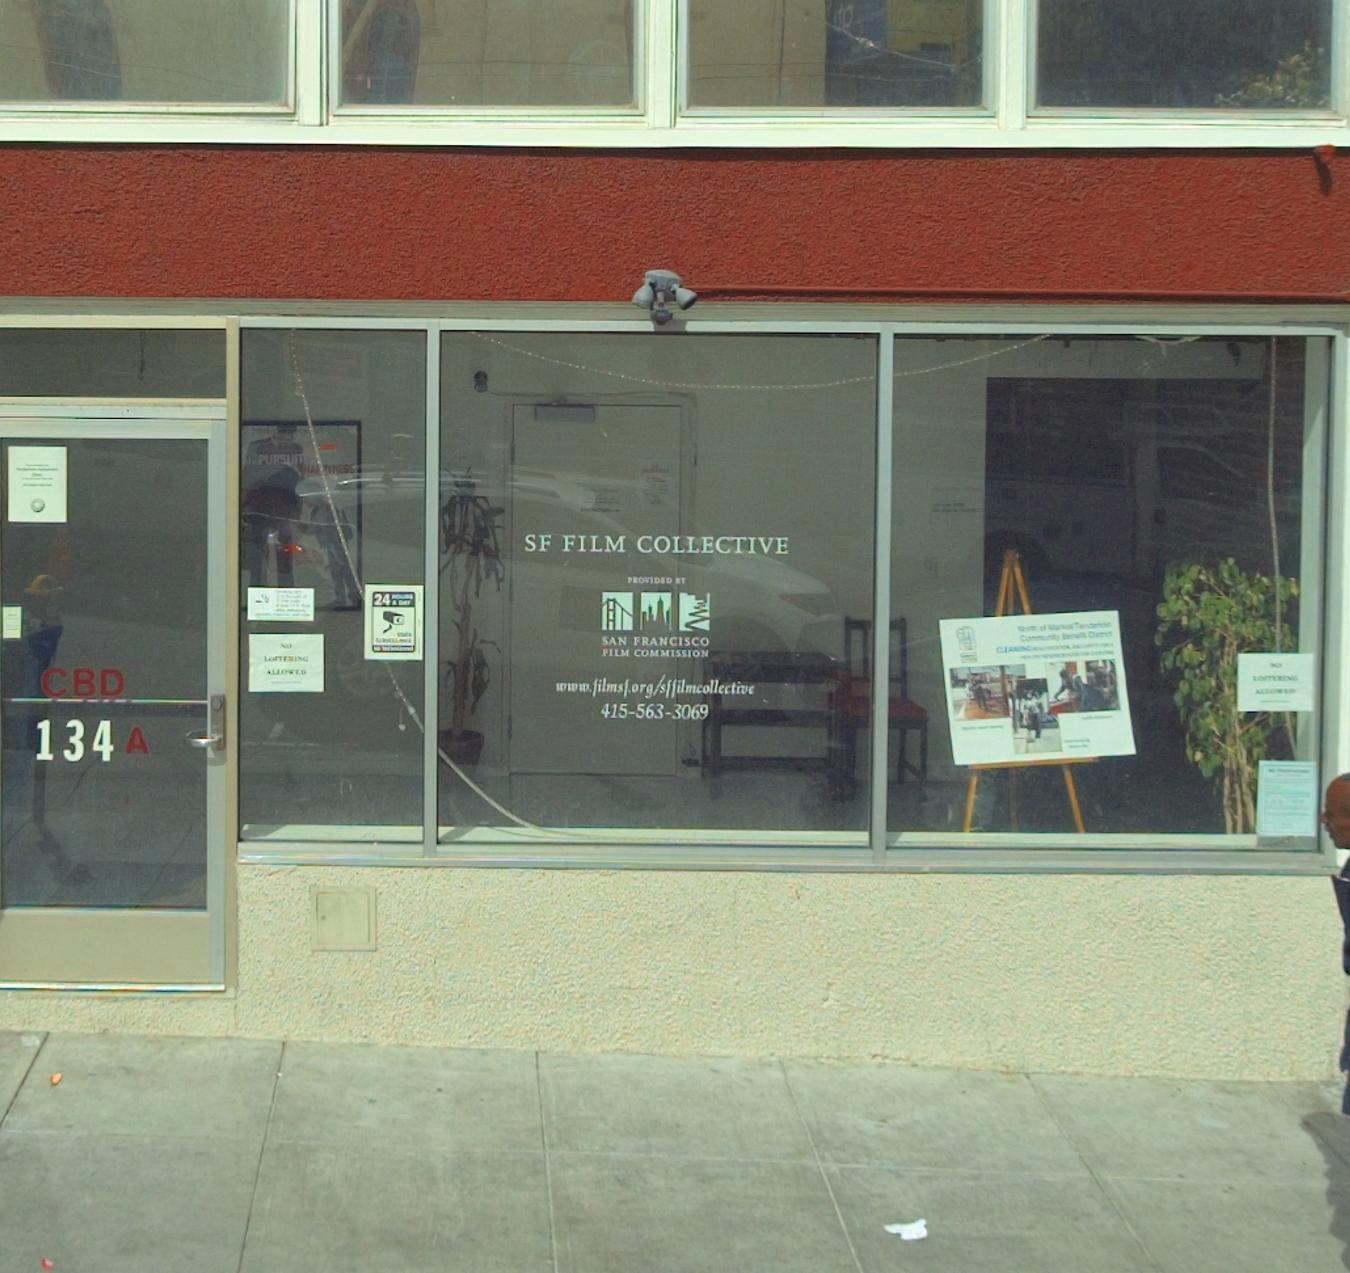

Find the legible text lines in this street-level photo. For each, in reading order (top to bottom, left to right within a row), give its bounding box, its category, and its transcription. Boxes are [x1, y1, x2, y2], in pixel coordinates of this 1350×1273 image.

[523, 532, 791, 557] BusinessName: SF FILM COLLECTIVE
[626, 574, 688, 587] None: PROVIDED BY
[372, 591, 392, 608] None: 24
[598, 633, 713, 649] None: SAN FRANCISCO
[600, 647, 710, 661] None: FILM COMMISSION
[38, 665, 126, 701] None: CBD
[552, 673, 757, 701] None: www.filmsf.org/sffilmcollective
[597, 700, 711, 723] None: 415-563-3069
[30, 715, 154, 764] StreetNumber: 134 A